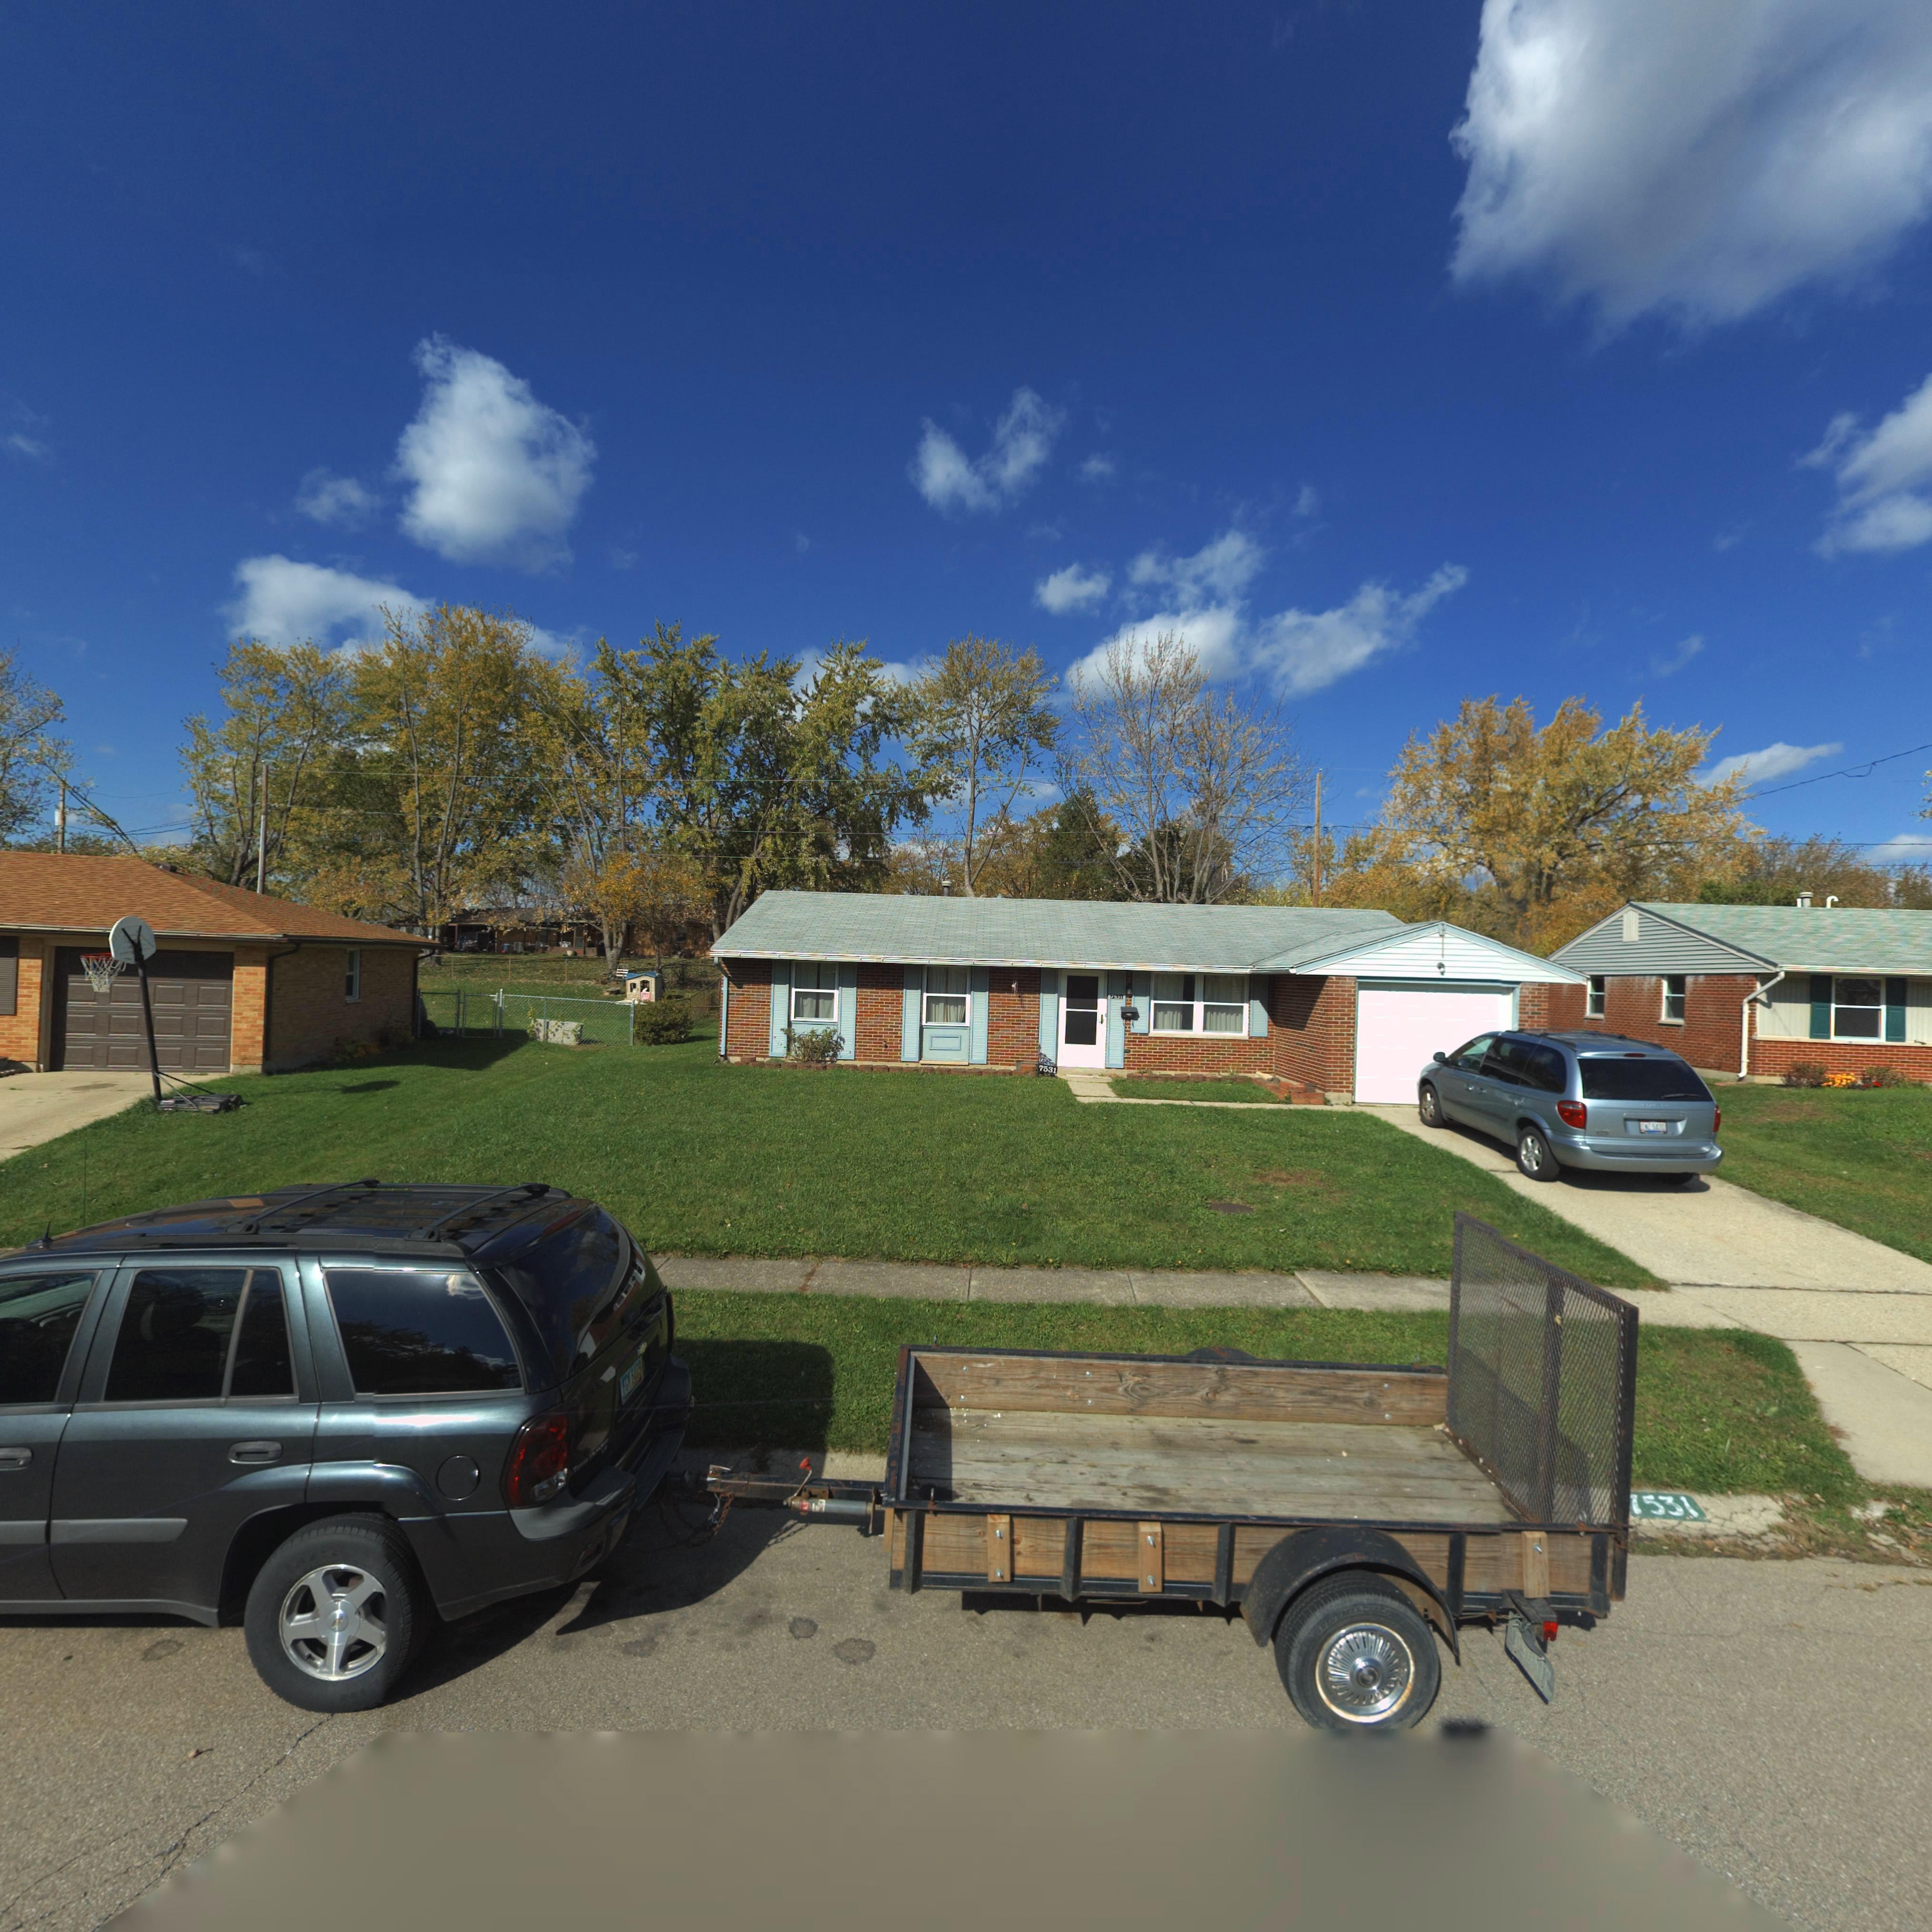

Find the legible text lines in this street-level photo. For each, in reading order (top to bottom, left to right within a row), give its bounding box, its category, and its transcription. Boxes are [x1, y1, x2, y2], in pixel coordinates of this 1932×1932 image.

[1110, 994, 1123, 1000] StreetNumber: 7531
[1038, 1064, 1057, 1074] StreetNumber: 7531
[1639, 1495, 1700, 1519] StreetNumber: 531